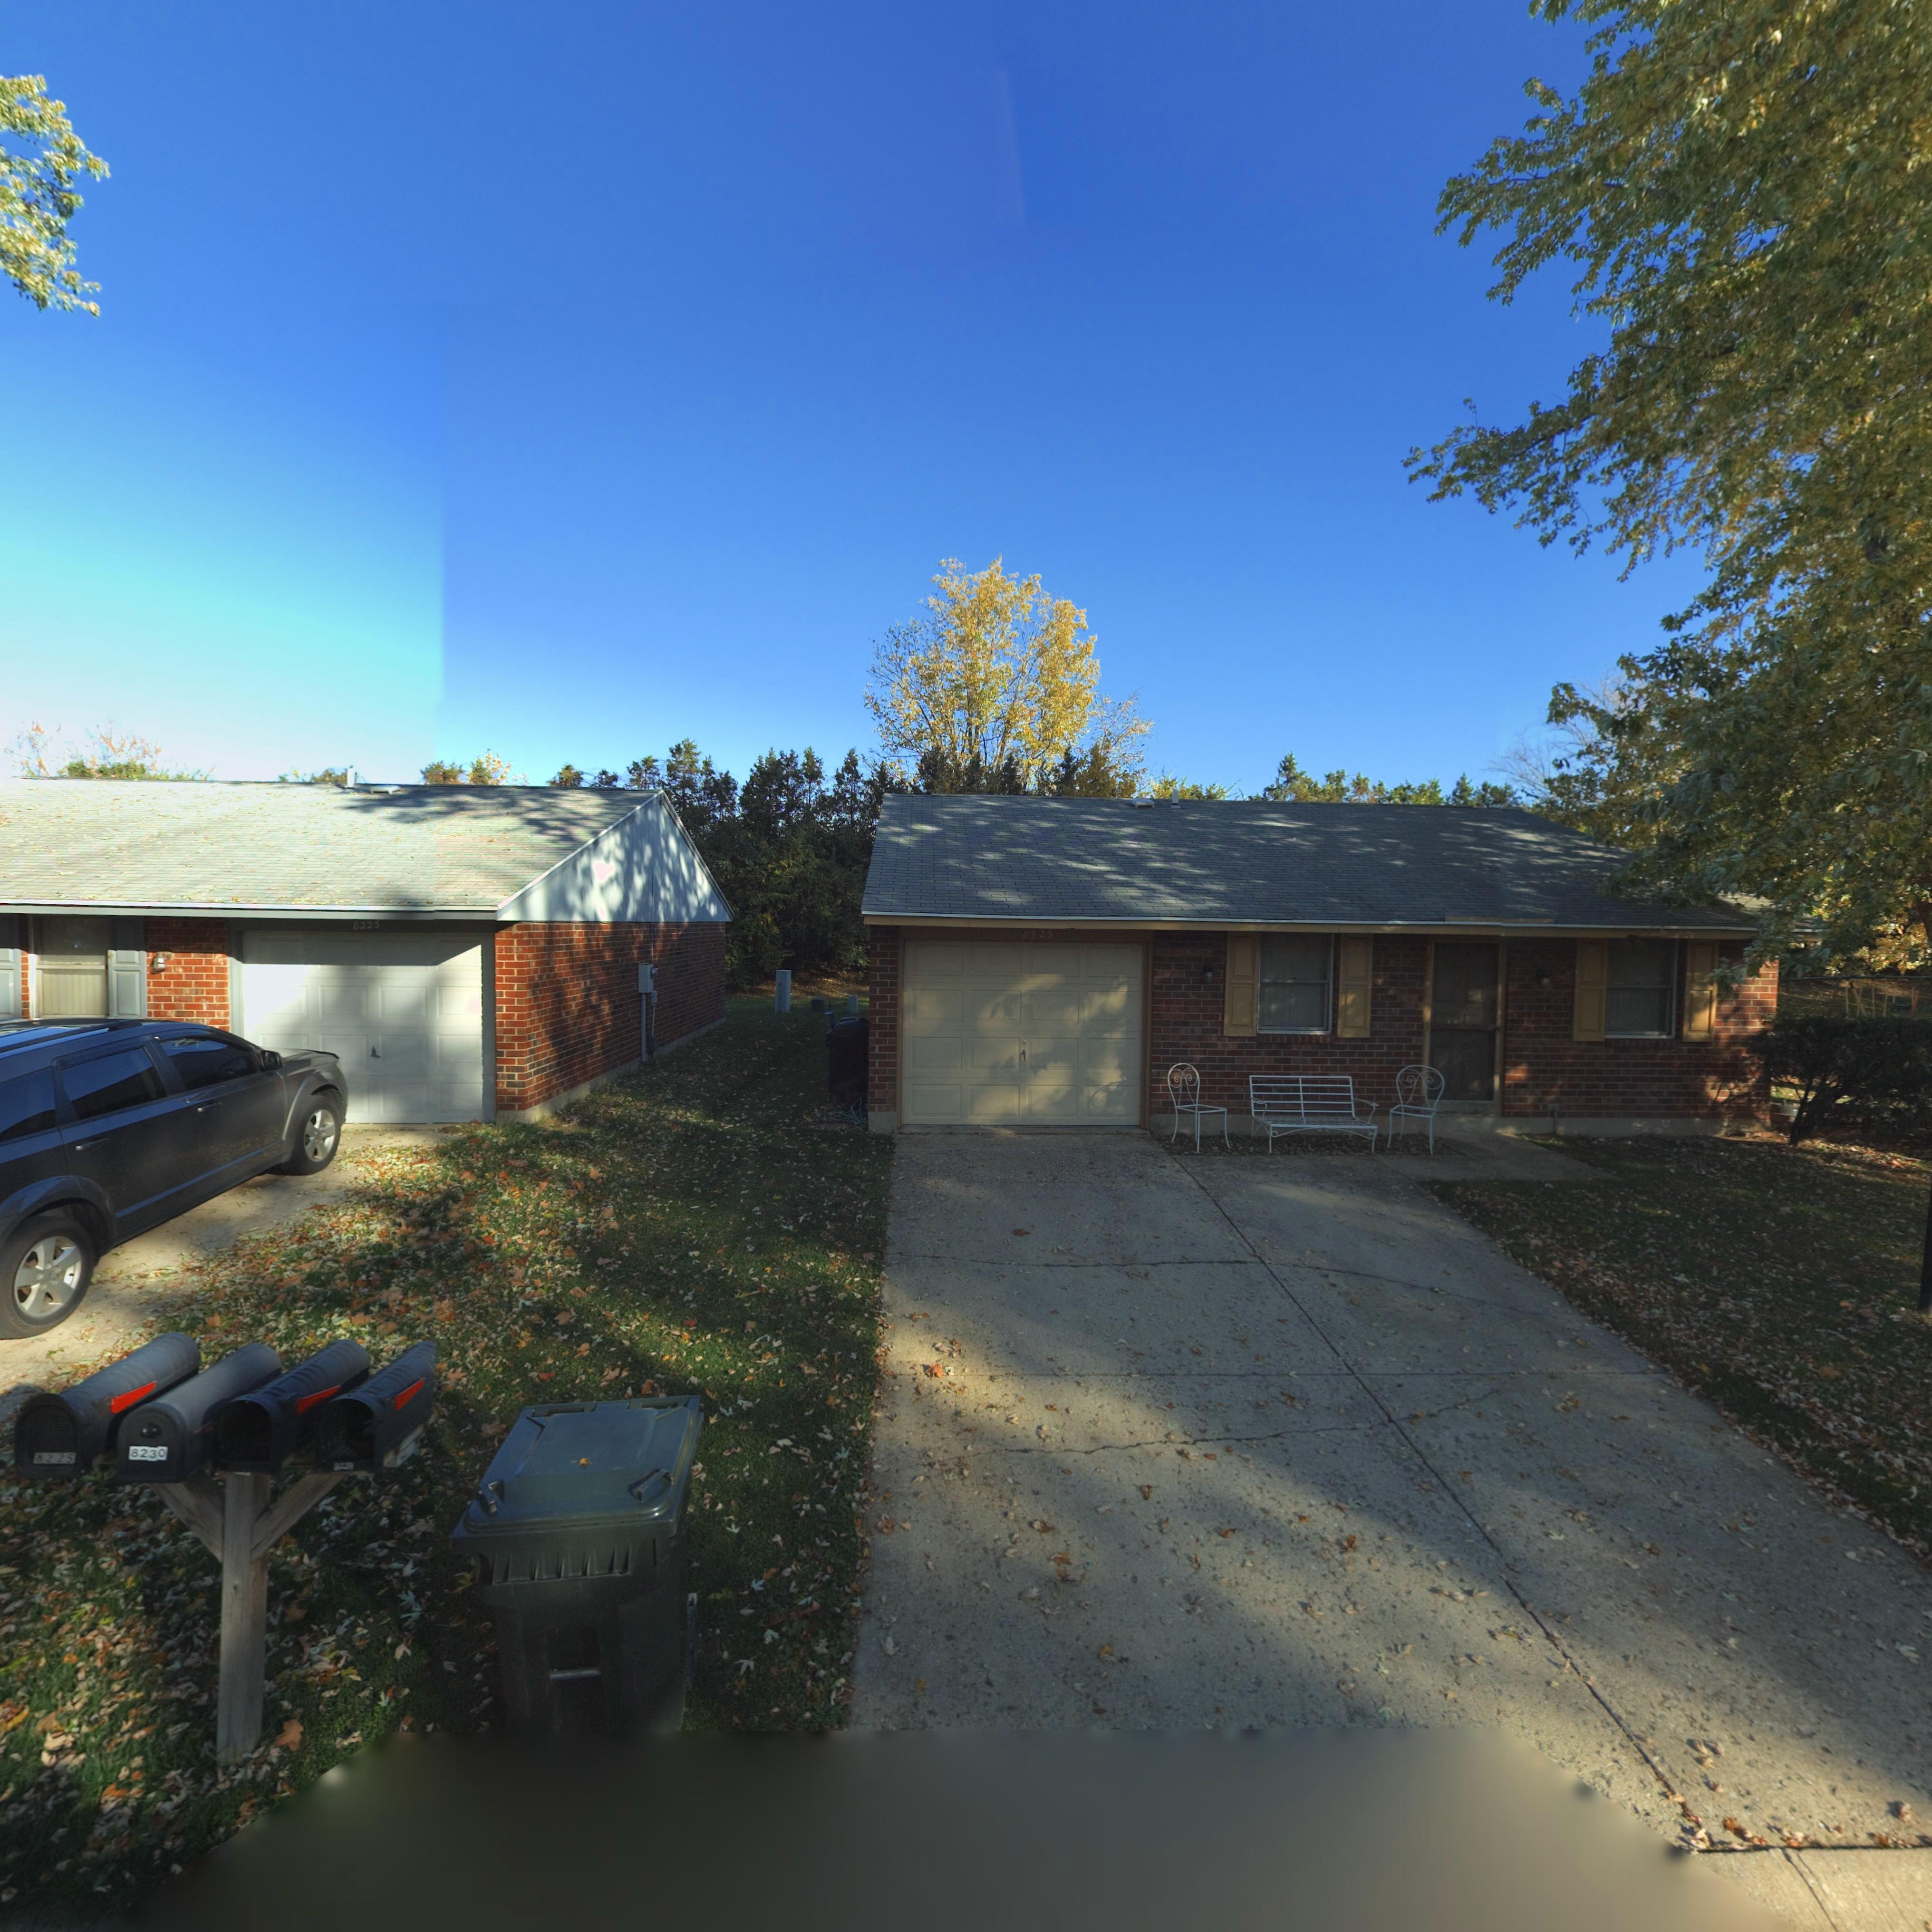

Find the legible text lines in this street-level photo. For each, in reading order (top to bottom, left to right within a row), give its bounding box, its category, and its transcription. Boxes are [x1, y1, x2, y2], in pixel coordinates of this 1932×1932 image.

[352, 919, 381, 930] StreetNumber: 8225
[1022, 929, 1054, 939] StreetNumber: 8229
[34, 1452, 76, 1465] StreetNumber: 8225
[130, 1448, 166, 1459] StreetNumber: 8230
[332, 1462, 356, 1471] StreetNumber: 8229